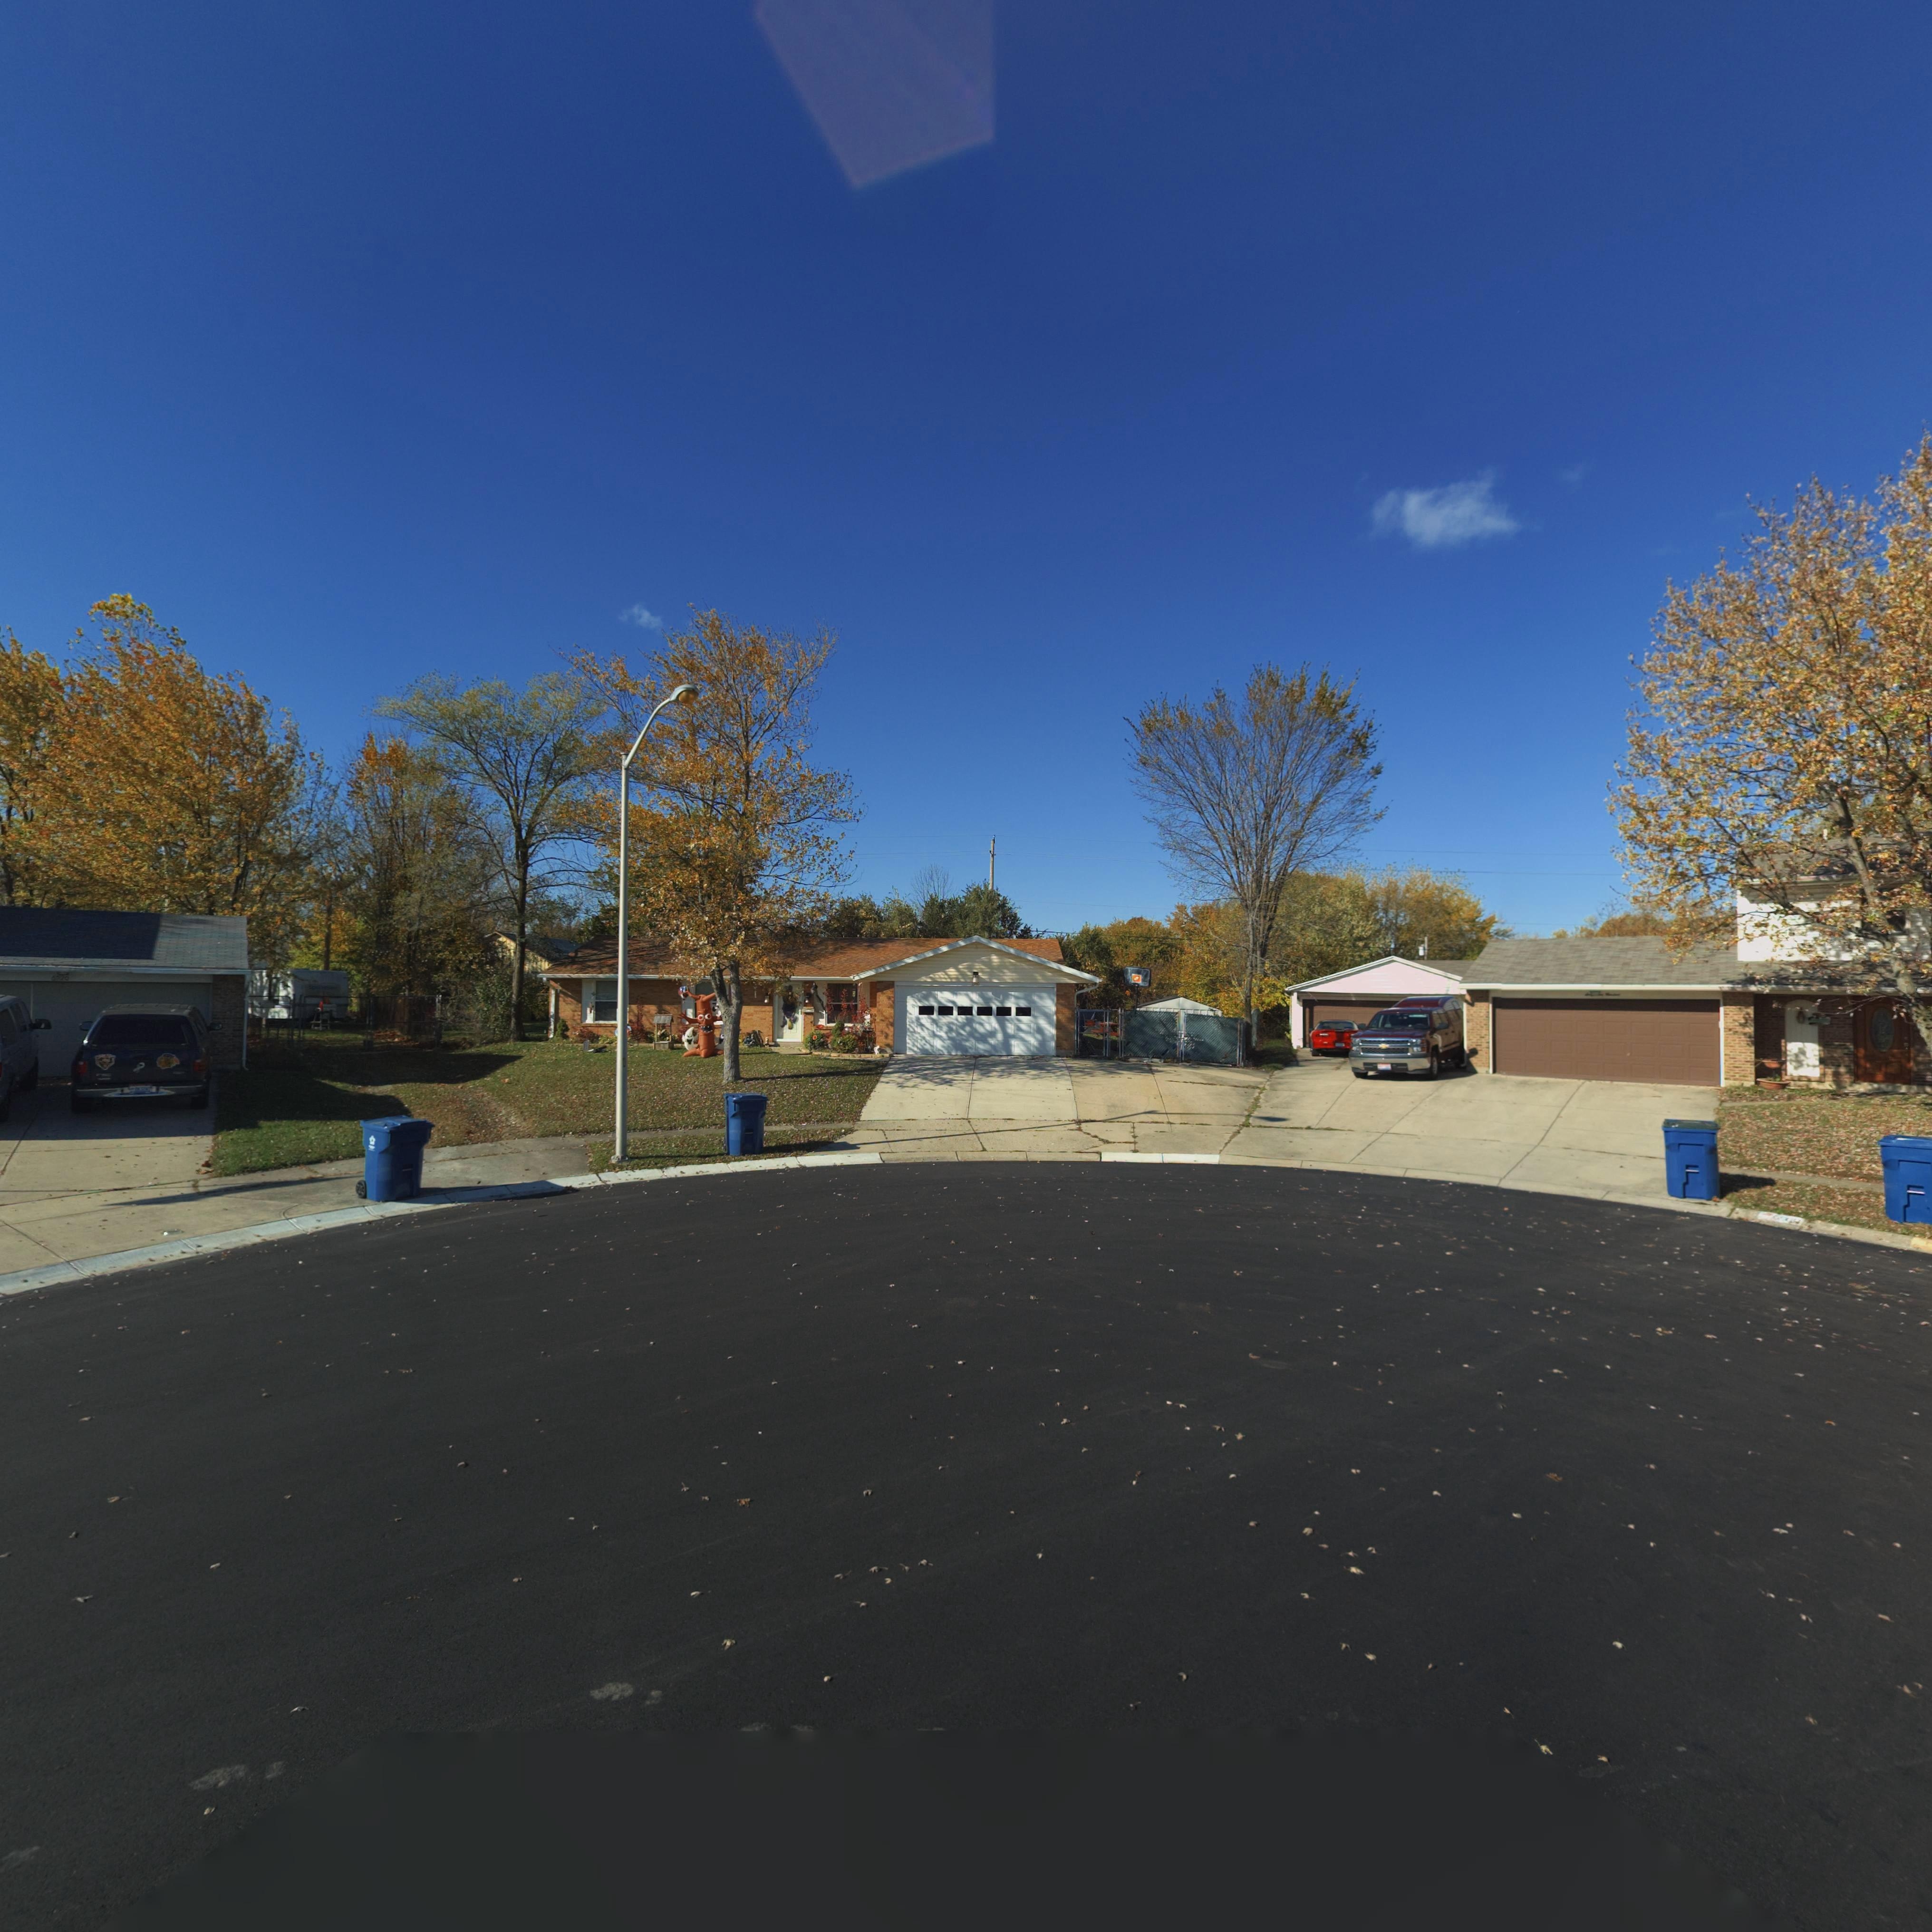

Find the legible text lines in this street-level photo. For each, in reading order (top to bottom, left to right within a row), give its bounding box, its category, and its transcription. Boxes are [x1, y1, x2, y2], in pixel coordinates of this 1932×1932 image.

[50, 975, 69, 981] StreetNumber: 6920
[971, 982, 980, 986] StreetNumber: 6910
[1584, 992, 1589, 996] StreetNumber: S
[1768, 1214, 1801, 1224] StreetNumber: 6900